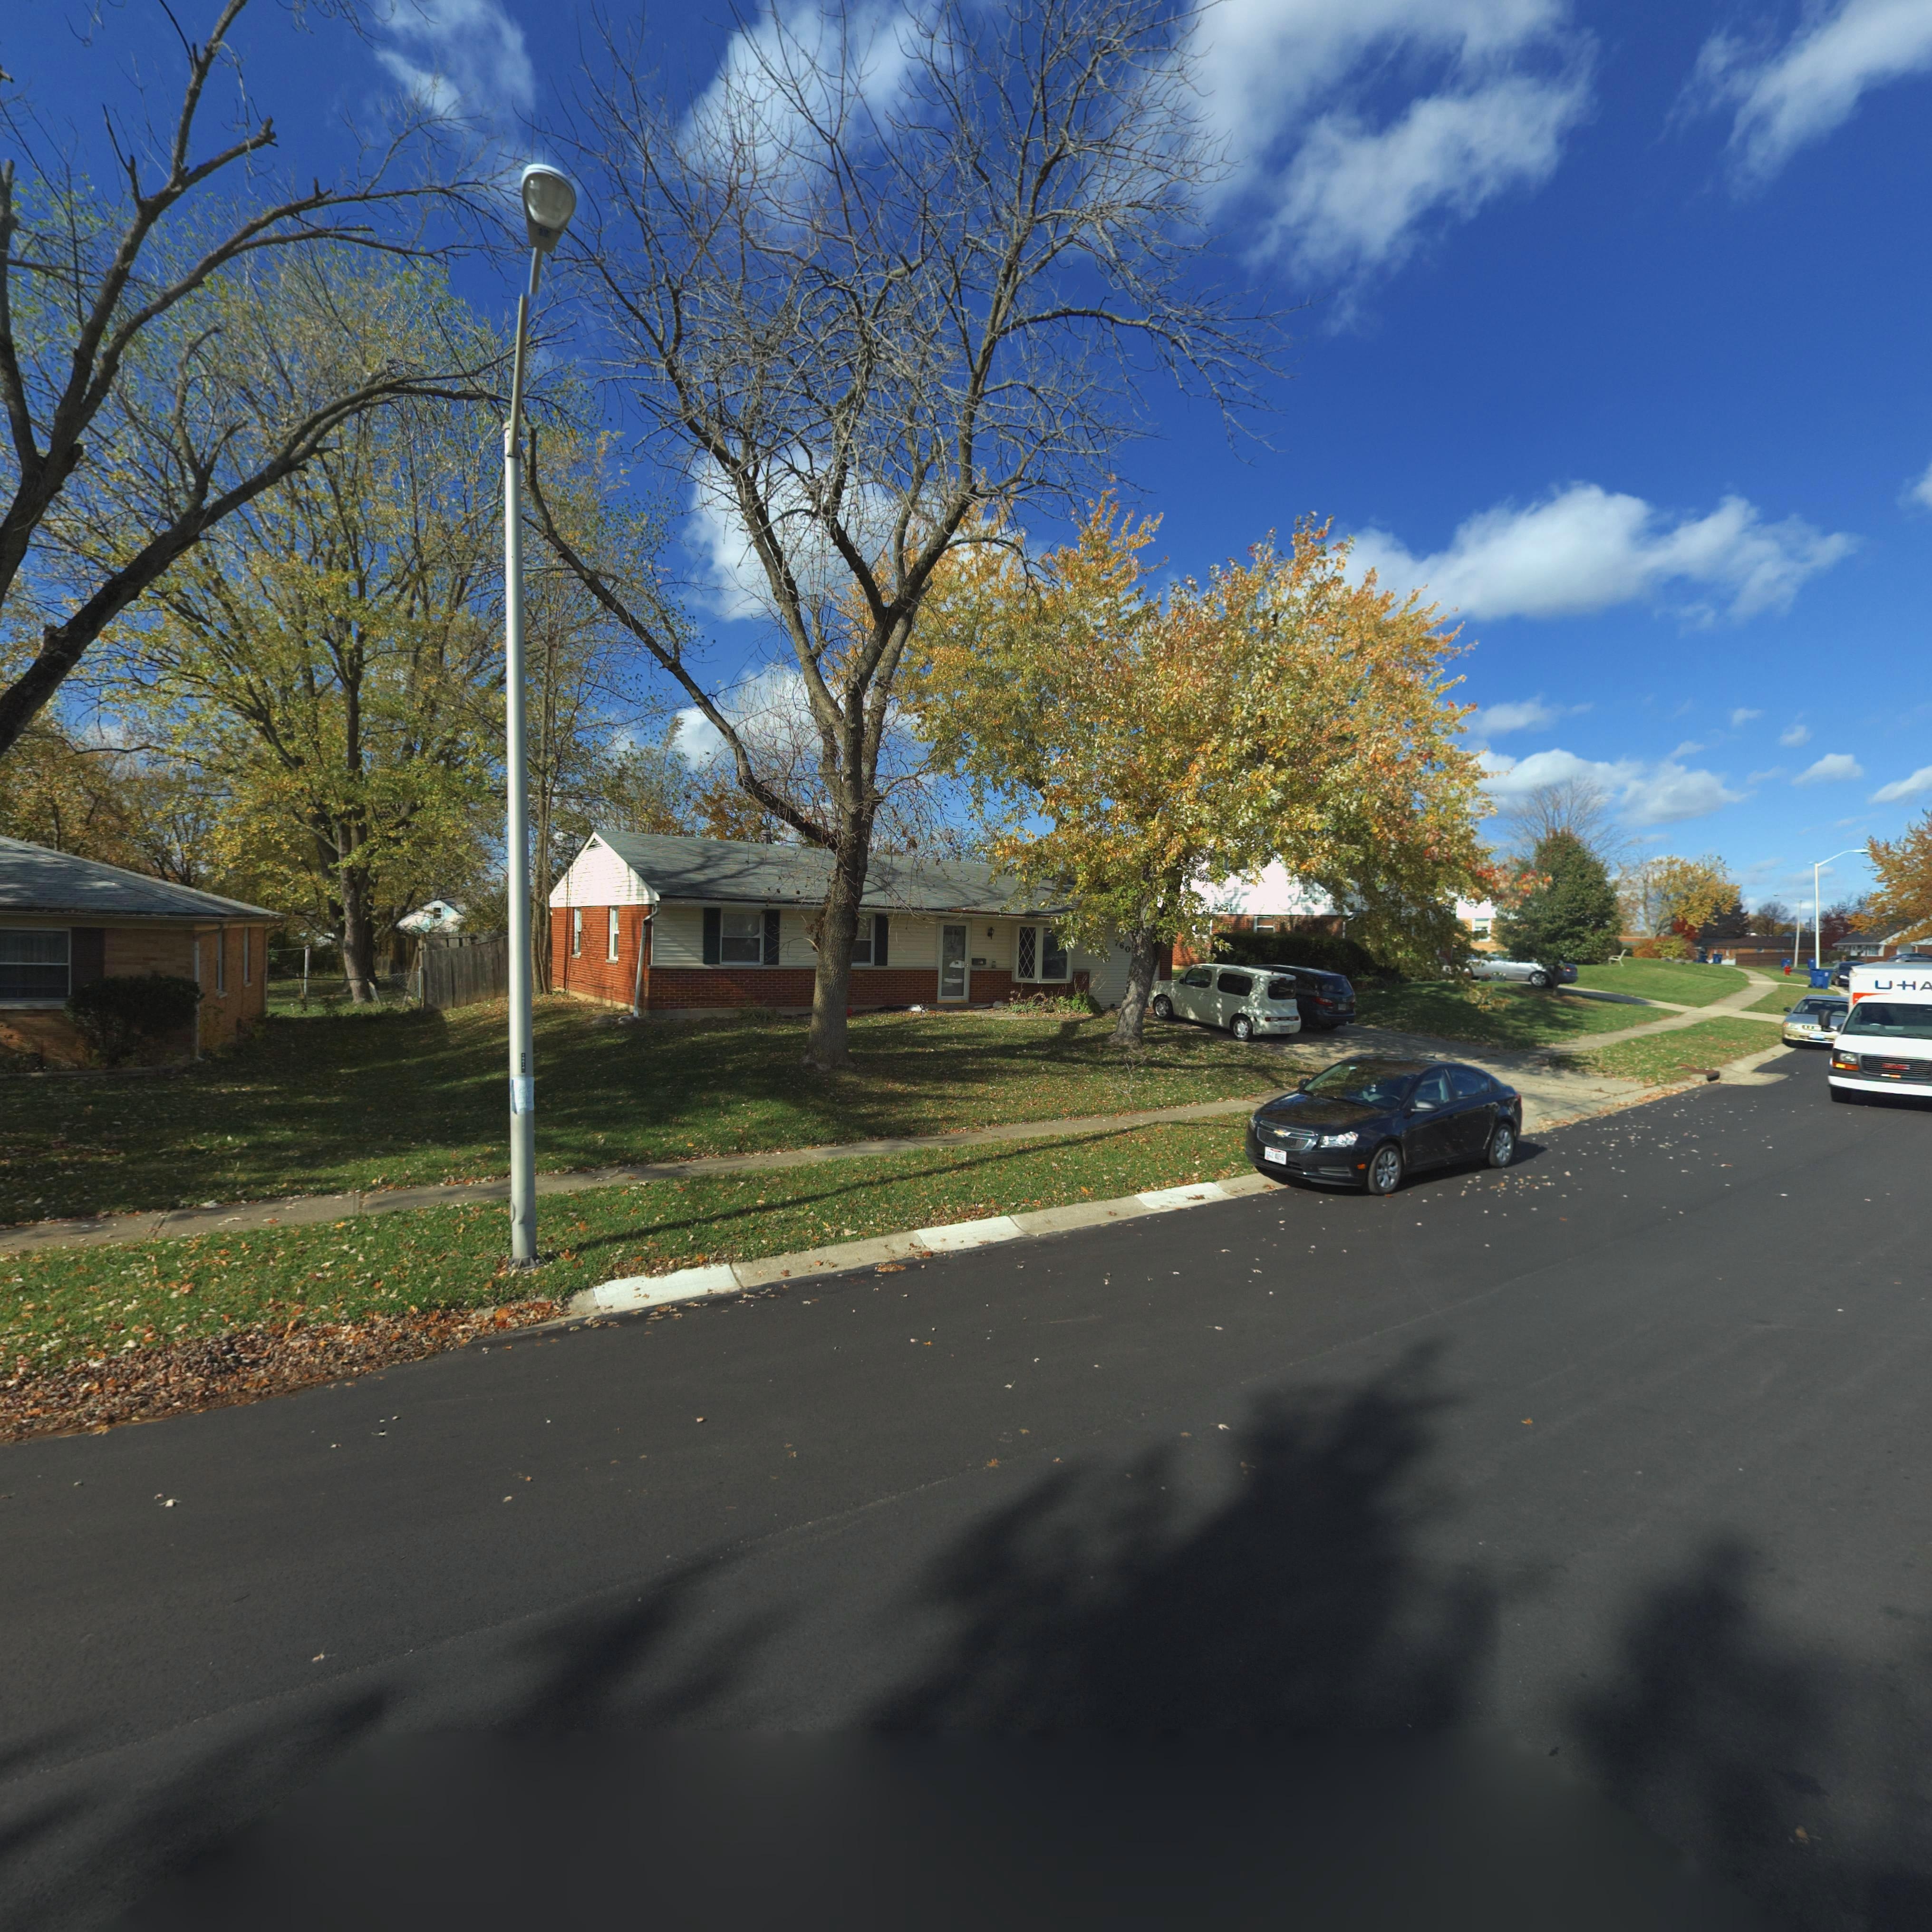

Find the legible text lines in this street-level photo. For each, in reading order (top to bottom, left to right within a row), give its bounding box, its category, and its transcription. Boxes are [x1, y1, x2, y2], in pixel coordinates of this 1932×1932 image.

[1114, 939, 1131, 953] StreetNumber: 760